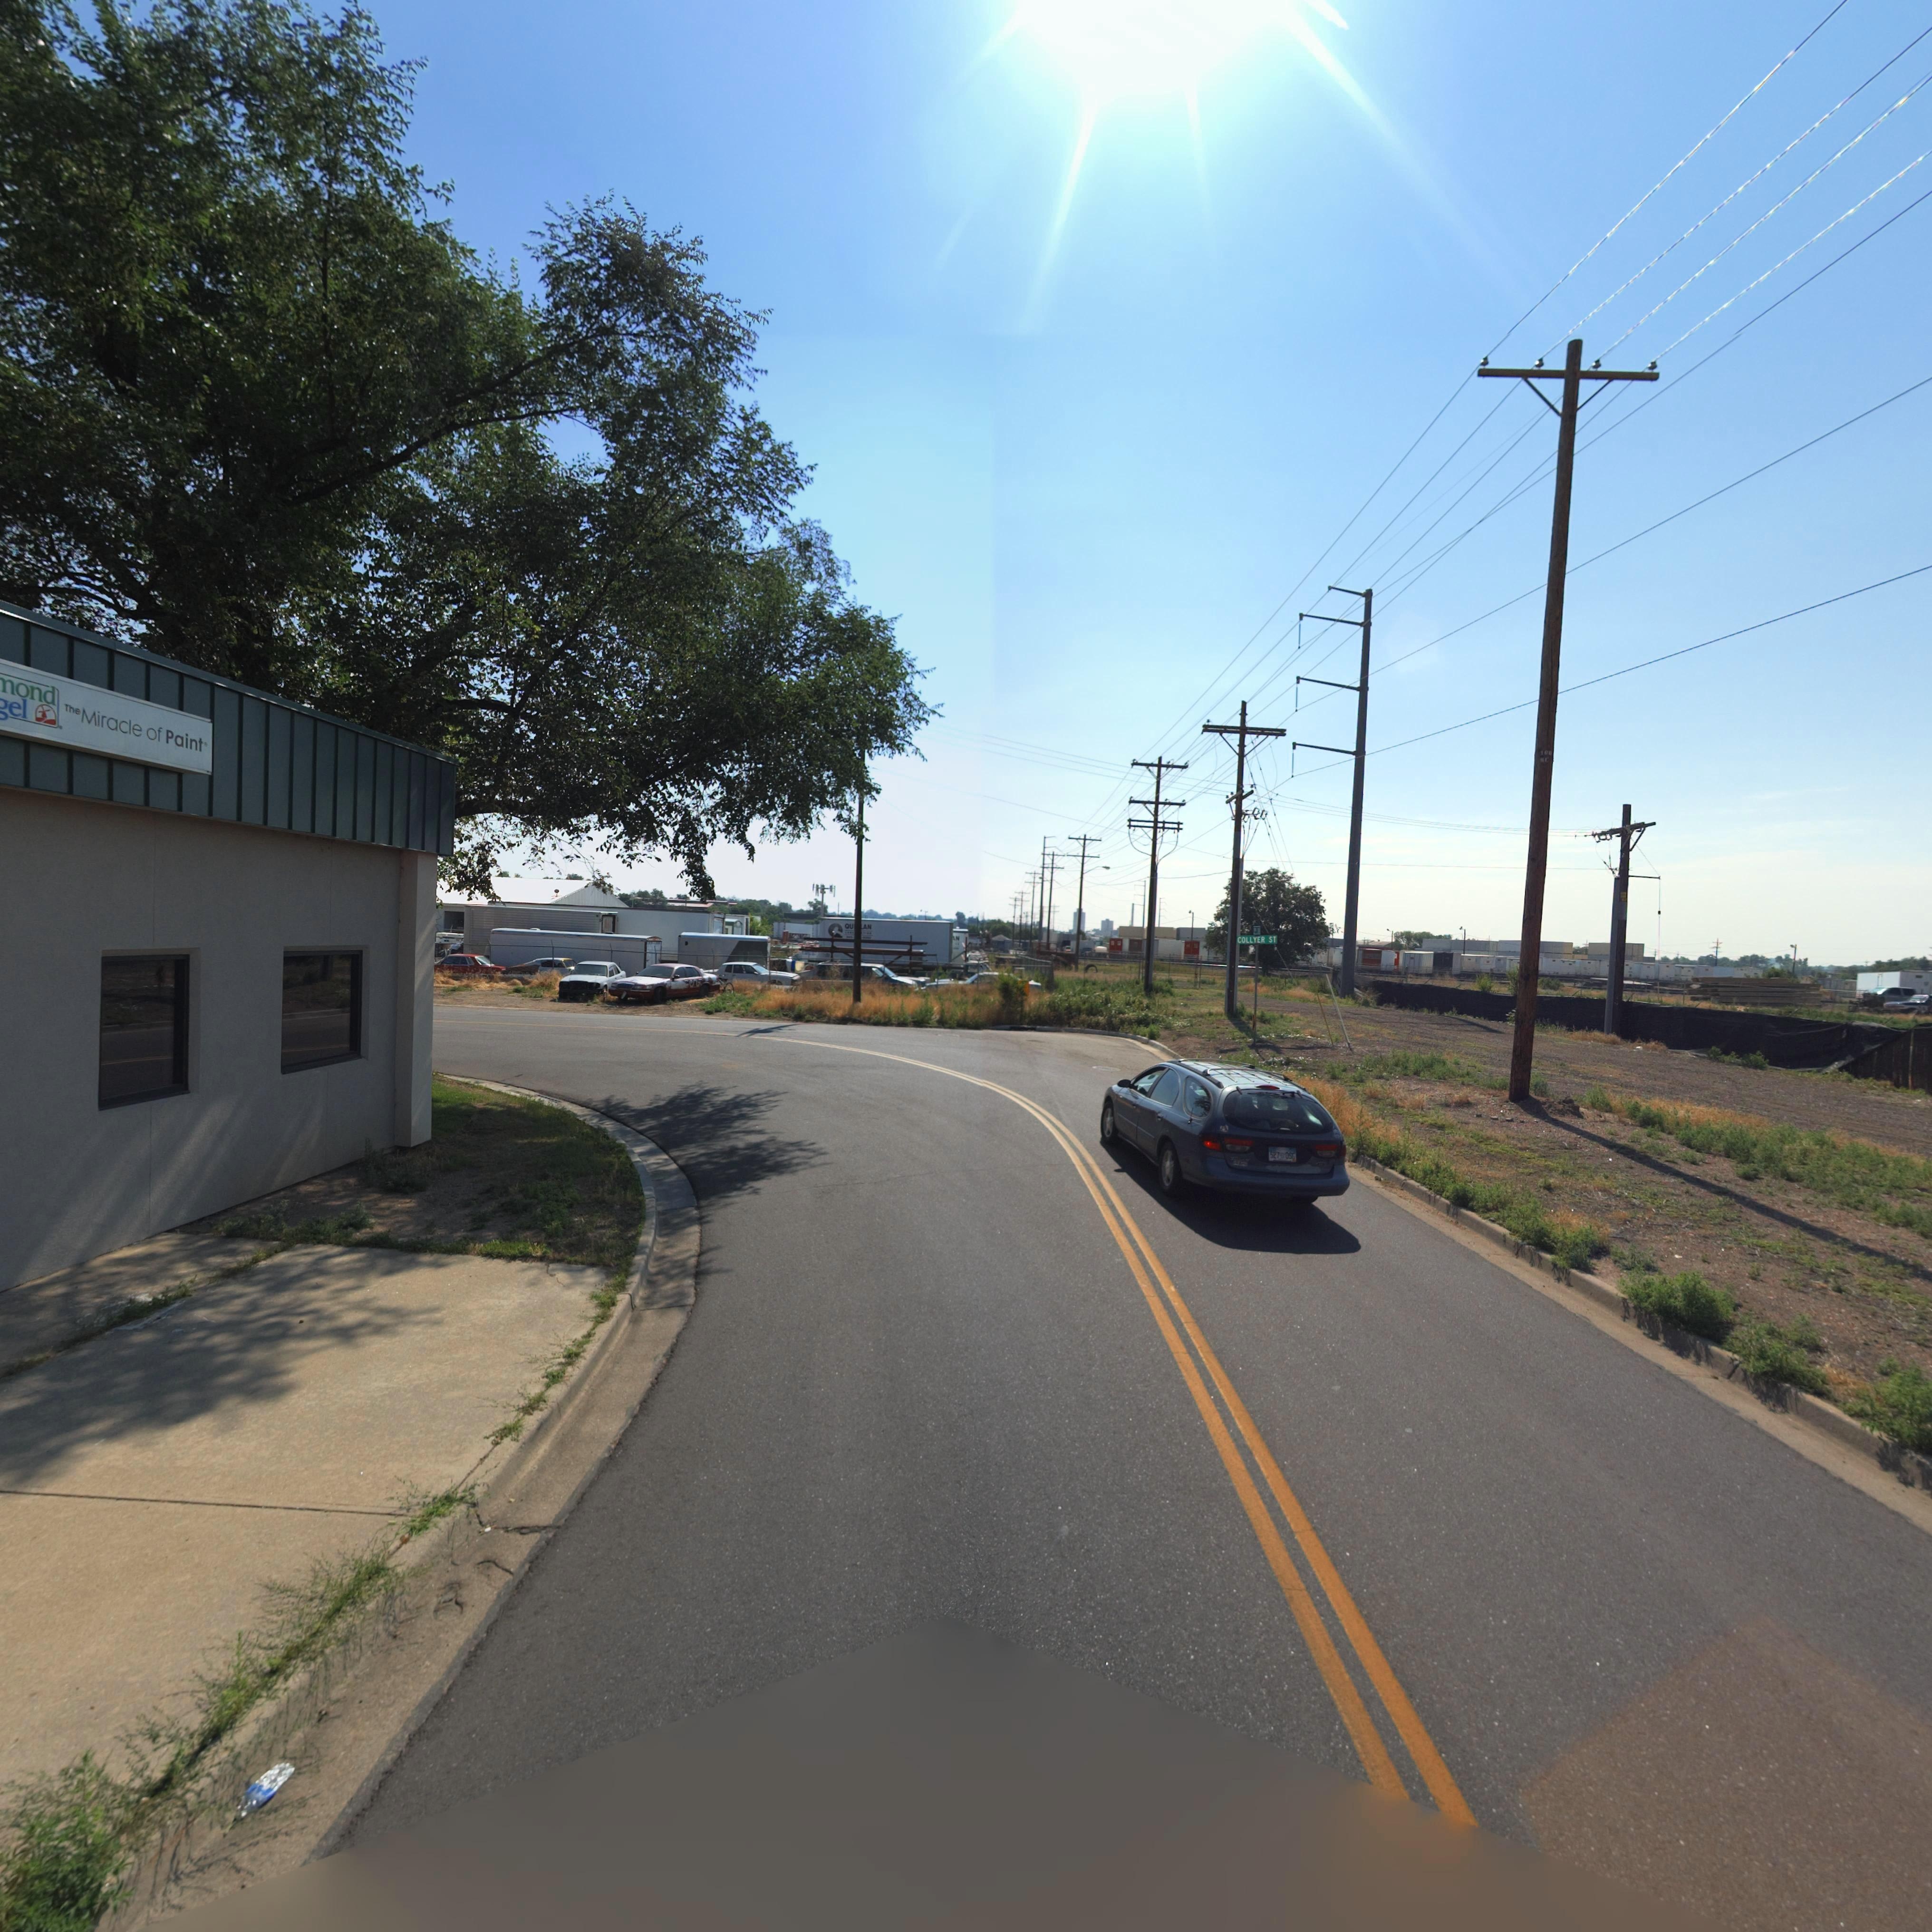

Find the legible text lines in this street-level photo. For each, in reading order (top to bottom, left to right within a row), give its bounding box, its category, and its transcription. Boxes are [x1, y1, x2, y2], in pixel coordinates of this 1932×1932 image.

[15, 682, 57, 706] BusinessName: ond
[8, 696, 29, 720] BusinessName: el
[64, 703, 81, 715] BusinessName: The
[80, 707, 204, 753] BusinessName: Miracle of Paint
[1253, 927, 1260, 934] BusinessName: 2** **
[1237, 936, 1276, 943] StreetName: COLLYER ST